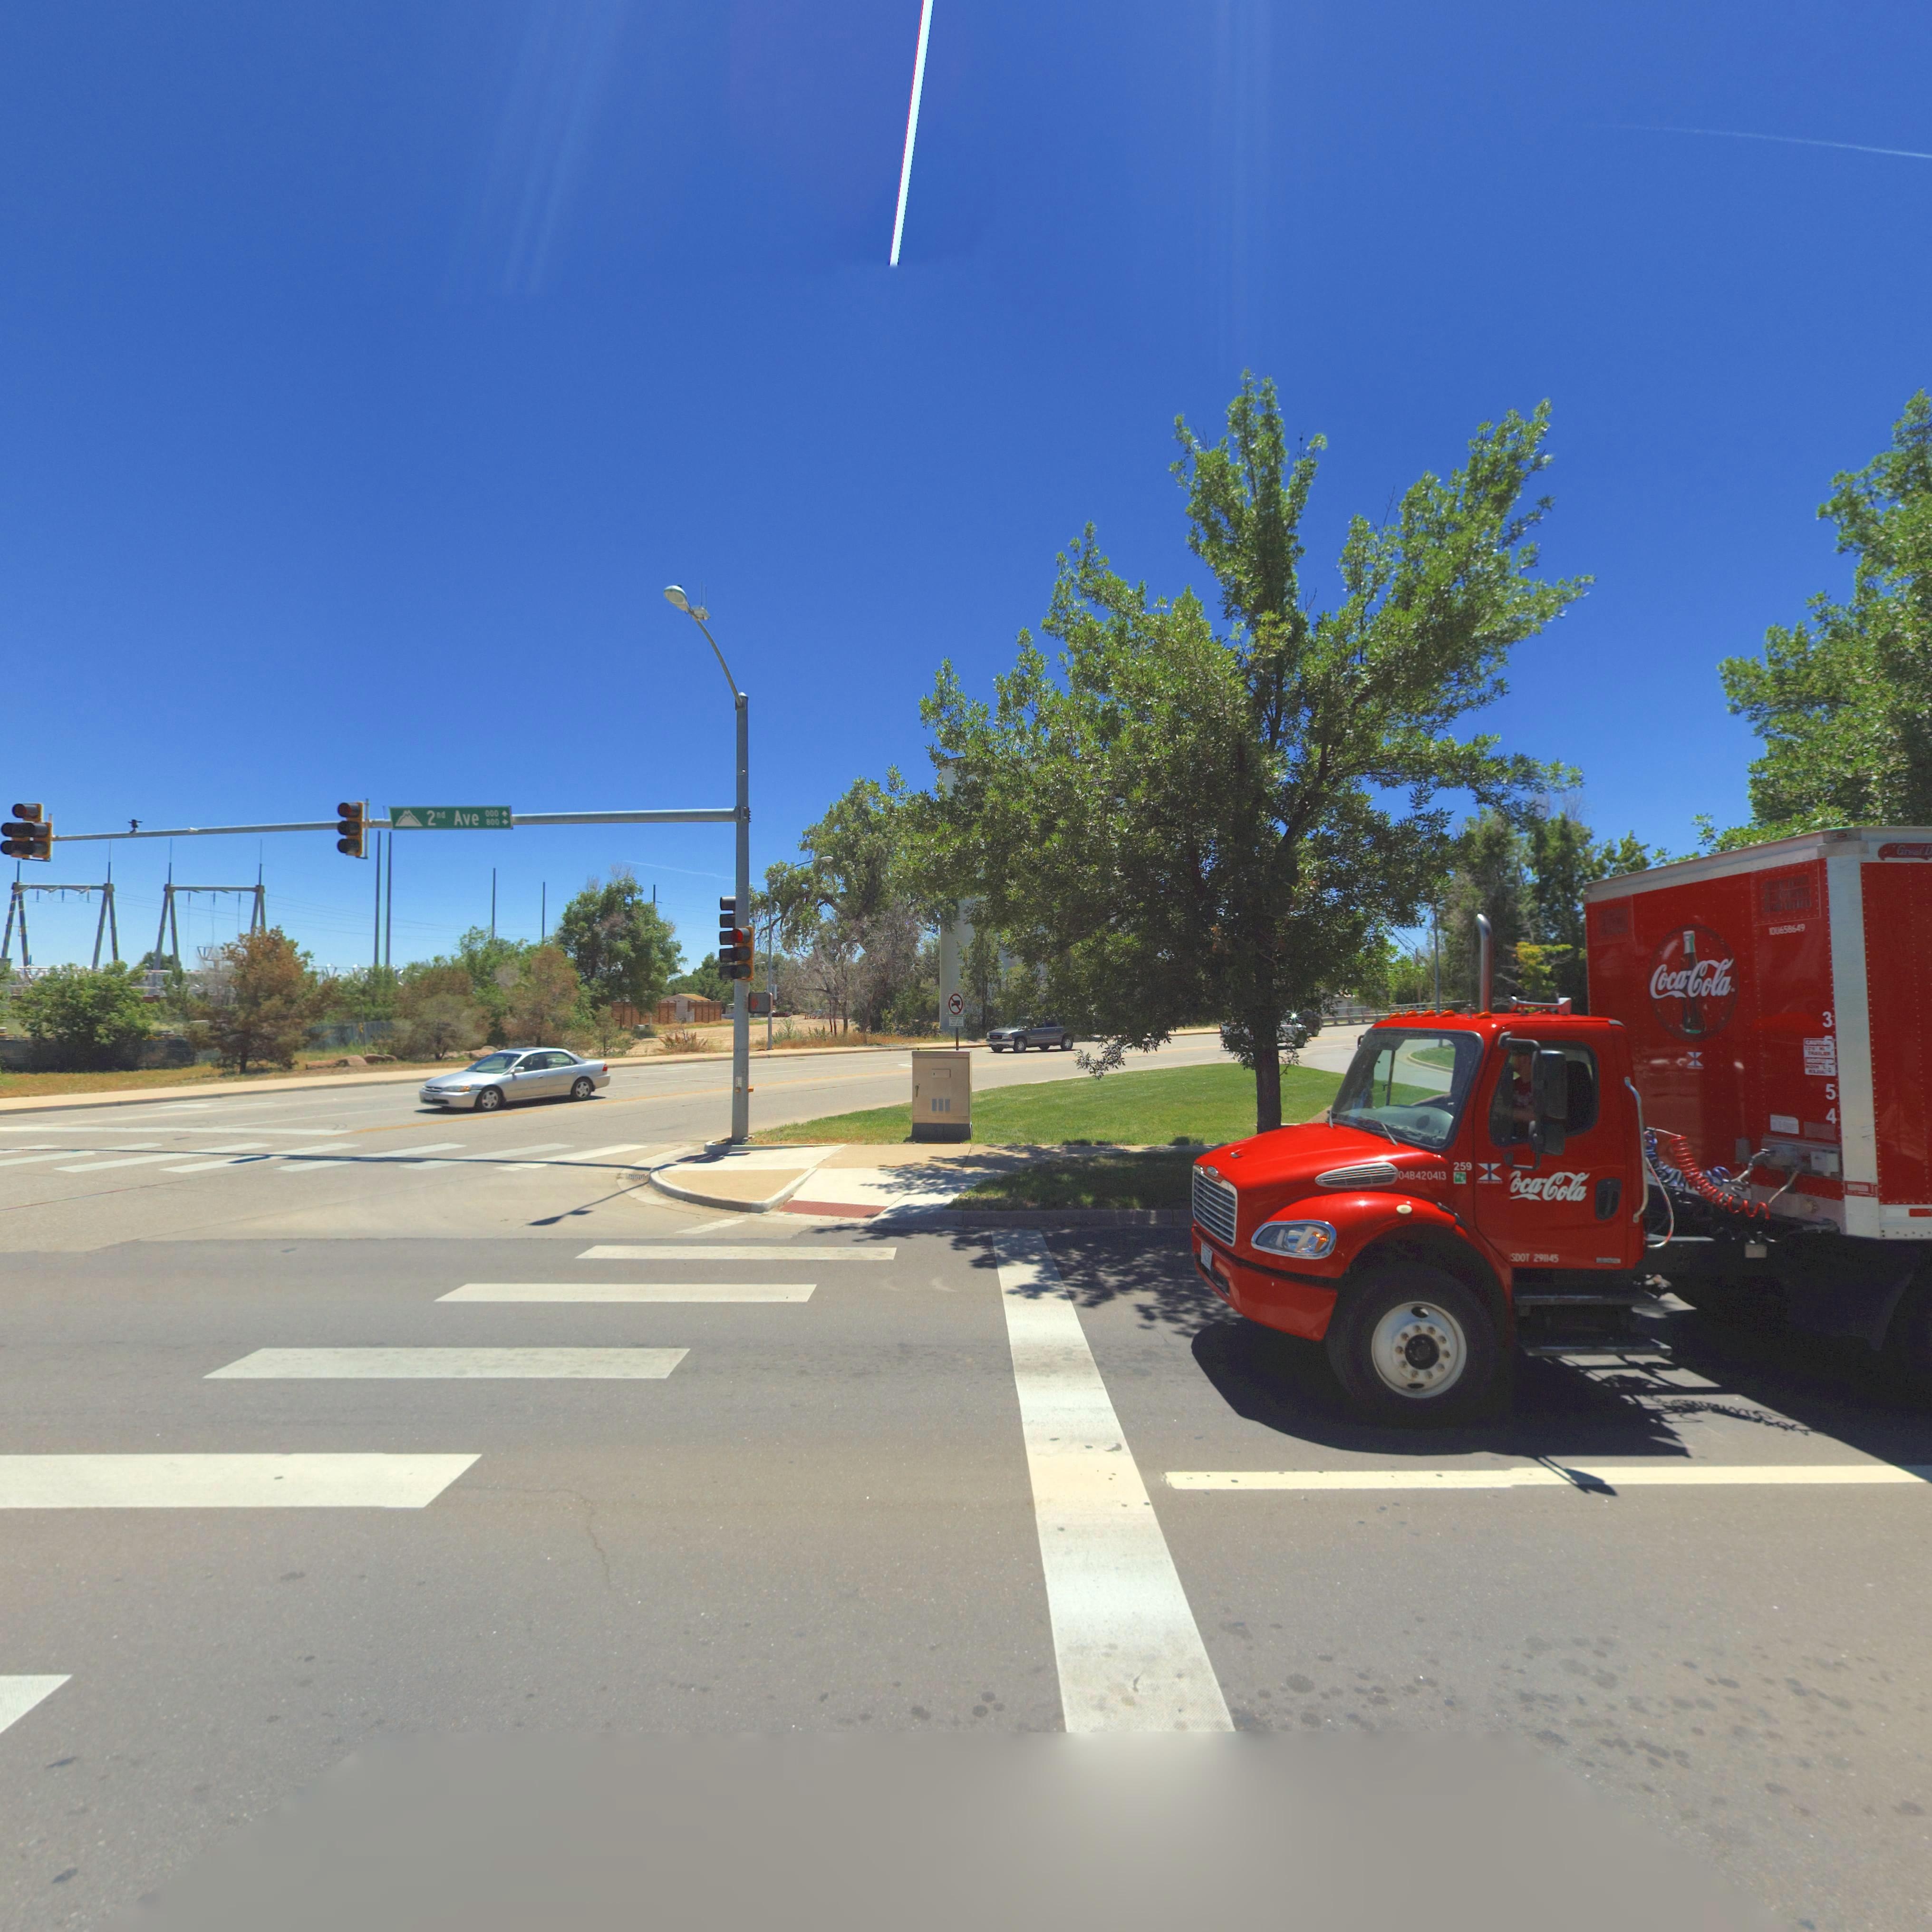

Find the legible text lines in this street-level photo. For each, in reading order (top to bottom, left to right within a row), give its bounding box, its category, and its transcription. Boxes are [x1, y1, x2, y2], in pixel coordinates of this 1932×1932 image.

[484, 809, 499, 817] StreetNumberRange: 000
[425, 809, 480, 826] StreetName: 2nd Ave
[485, 818, 510, 826] StreetNumberRange: 800->